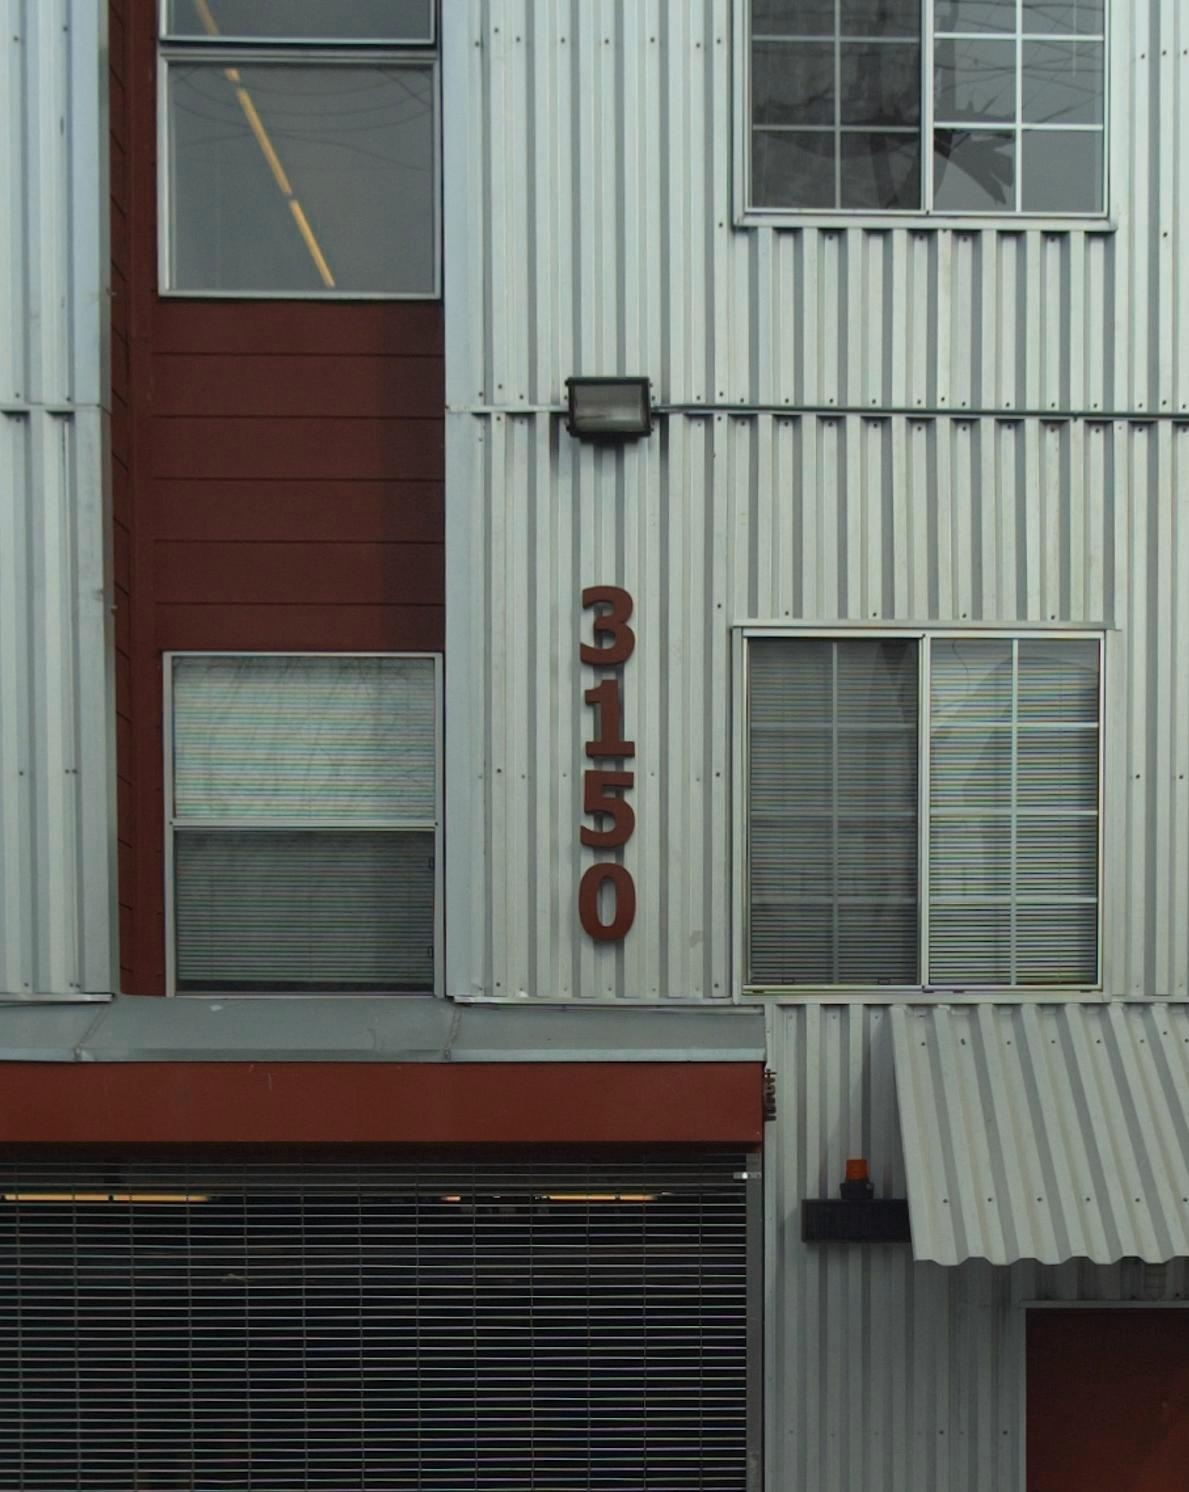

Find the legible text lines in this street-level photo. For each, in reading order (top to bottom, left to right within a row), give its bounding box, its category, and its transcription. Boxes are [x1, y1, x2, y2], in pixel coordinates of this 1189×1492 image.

[576, 583, 639, 946] StreetNumber: 3150